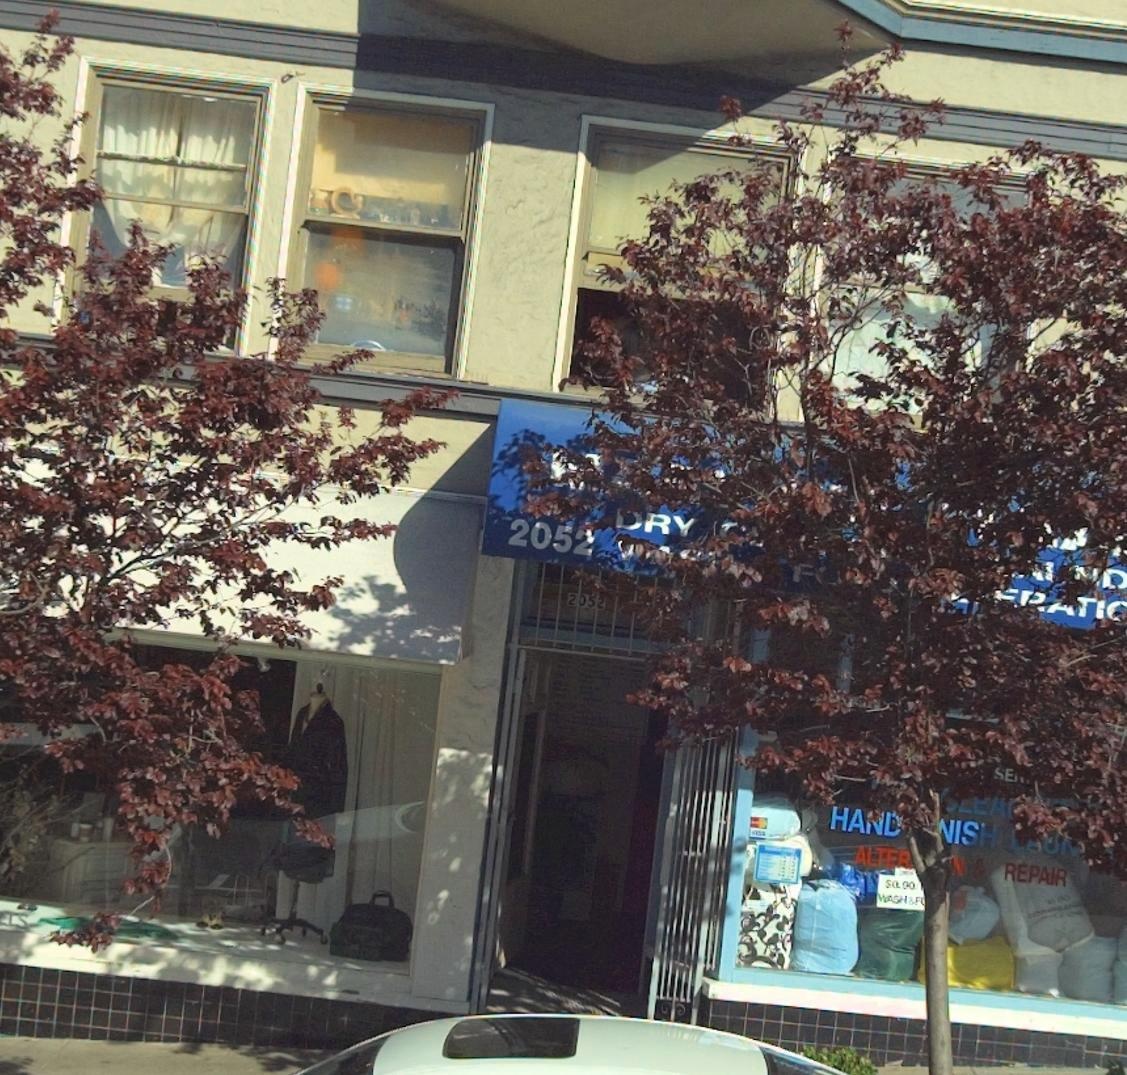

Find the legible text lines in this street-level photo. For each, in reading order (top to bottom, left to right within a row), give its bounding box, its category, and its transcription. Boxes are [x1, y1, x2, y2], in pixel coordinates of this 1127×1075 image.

[504, 517, 598, 558] StreetNumber: 2052
[642, 510, 700, 538] None: RY
[566, 592, 605, 610] StreetNumber: 2*52
[1004, 766, 1016, 783] None: E
[828, 804, 867, 835] None: HA
[952, 818, 998, 849] None: ISH
[851, 844, 915, 870] None: ALTER
[876, 891, 909, 905] None: WASH
[884, 878, 917, 891] None: 50 00
[1003, 861, 1069, 888] None: REPAIR